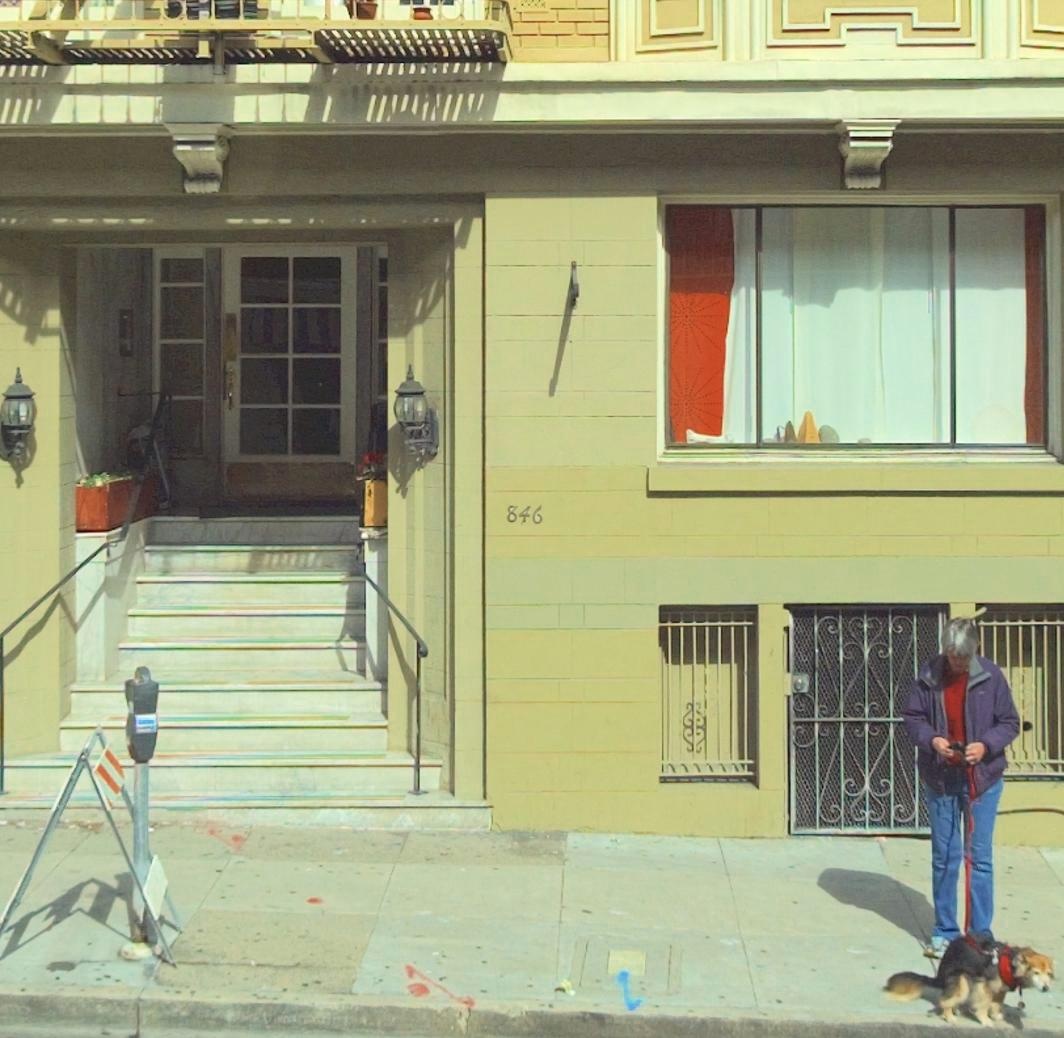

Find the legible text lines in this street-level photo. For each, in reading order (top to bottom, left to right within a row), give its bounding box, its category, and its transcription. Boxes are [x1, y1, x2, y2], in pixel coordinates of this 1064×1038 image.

[503, 501, 548, 529] StreetNumber: 846